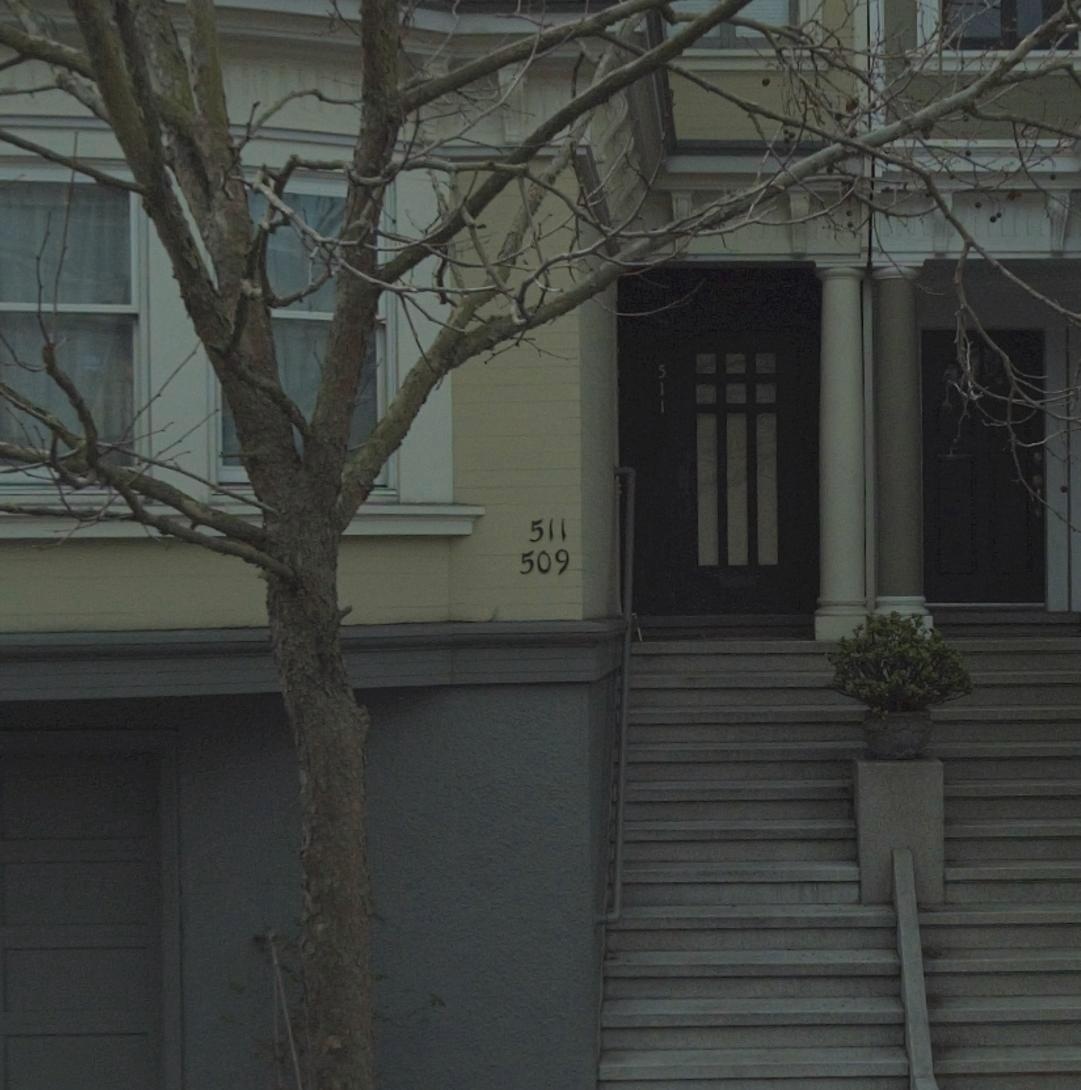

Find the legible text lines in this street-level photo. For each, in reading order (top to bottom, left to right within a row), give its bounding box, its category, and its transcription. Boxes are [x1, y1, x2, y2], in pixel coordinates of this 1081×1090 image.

[657, 362, 666, 412] StreetNumber: 511
[528, 515, 569, 543] StreetNumber: 511
[516, 548, 569, 575] StreetNumber: 509